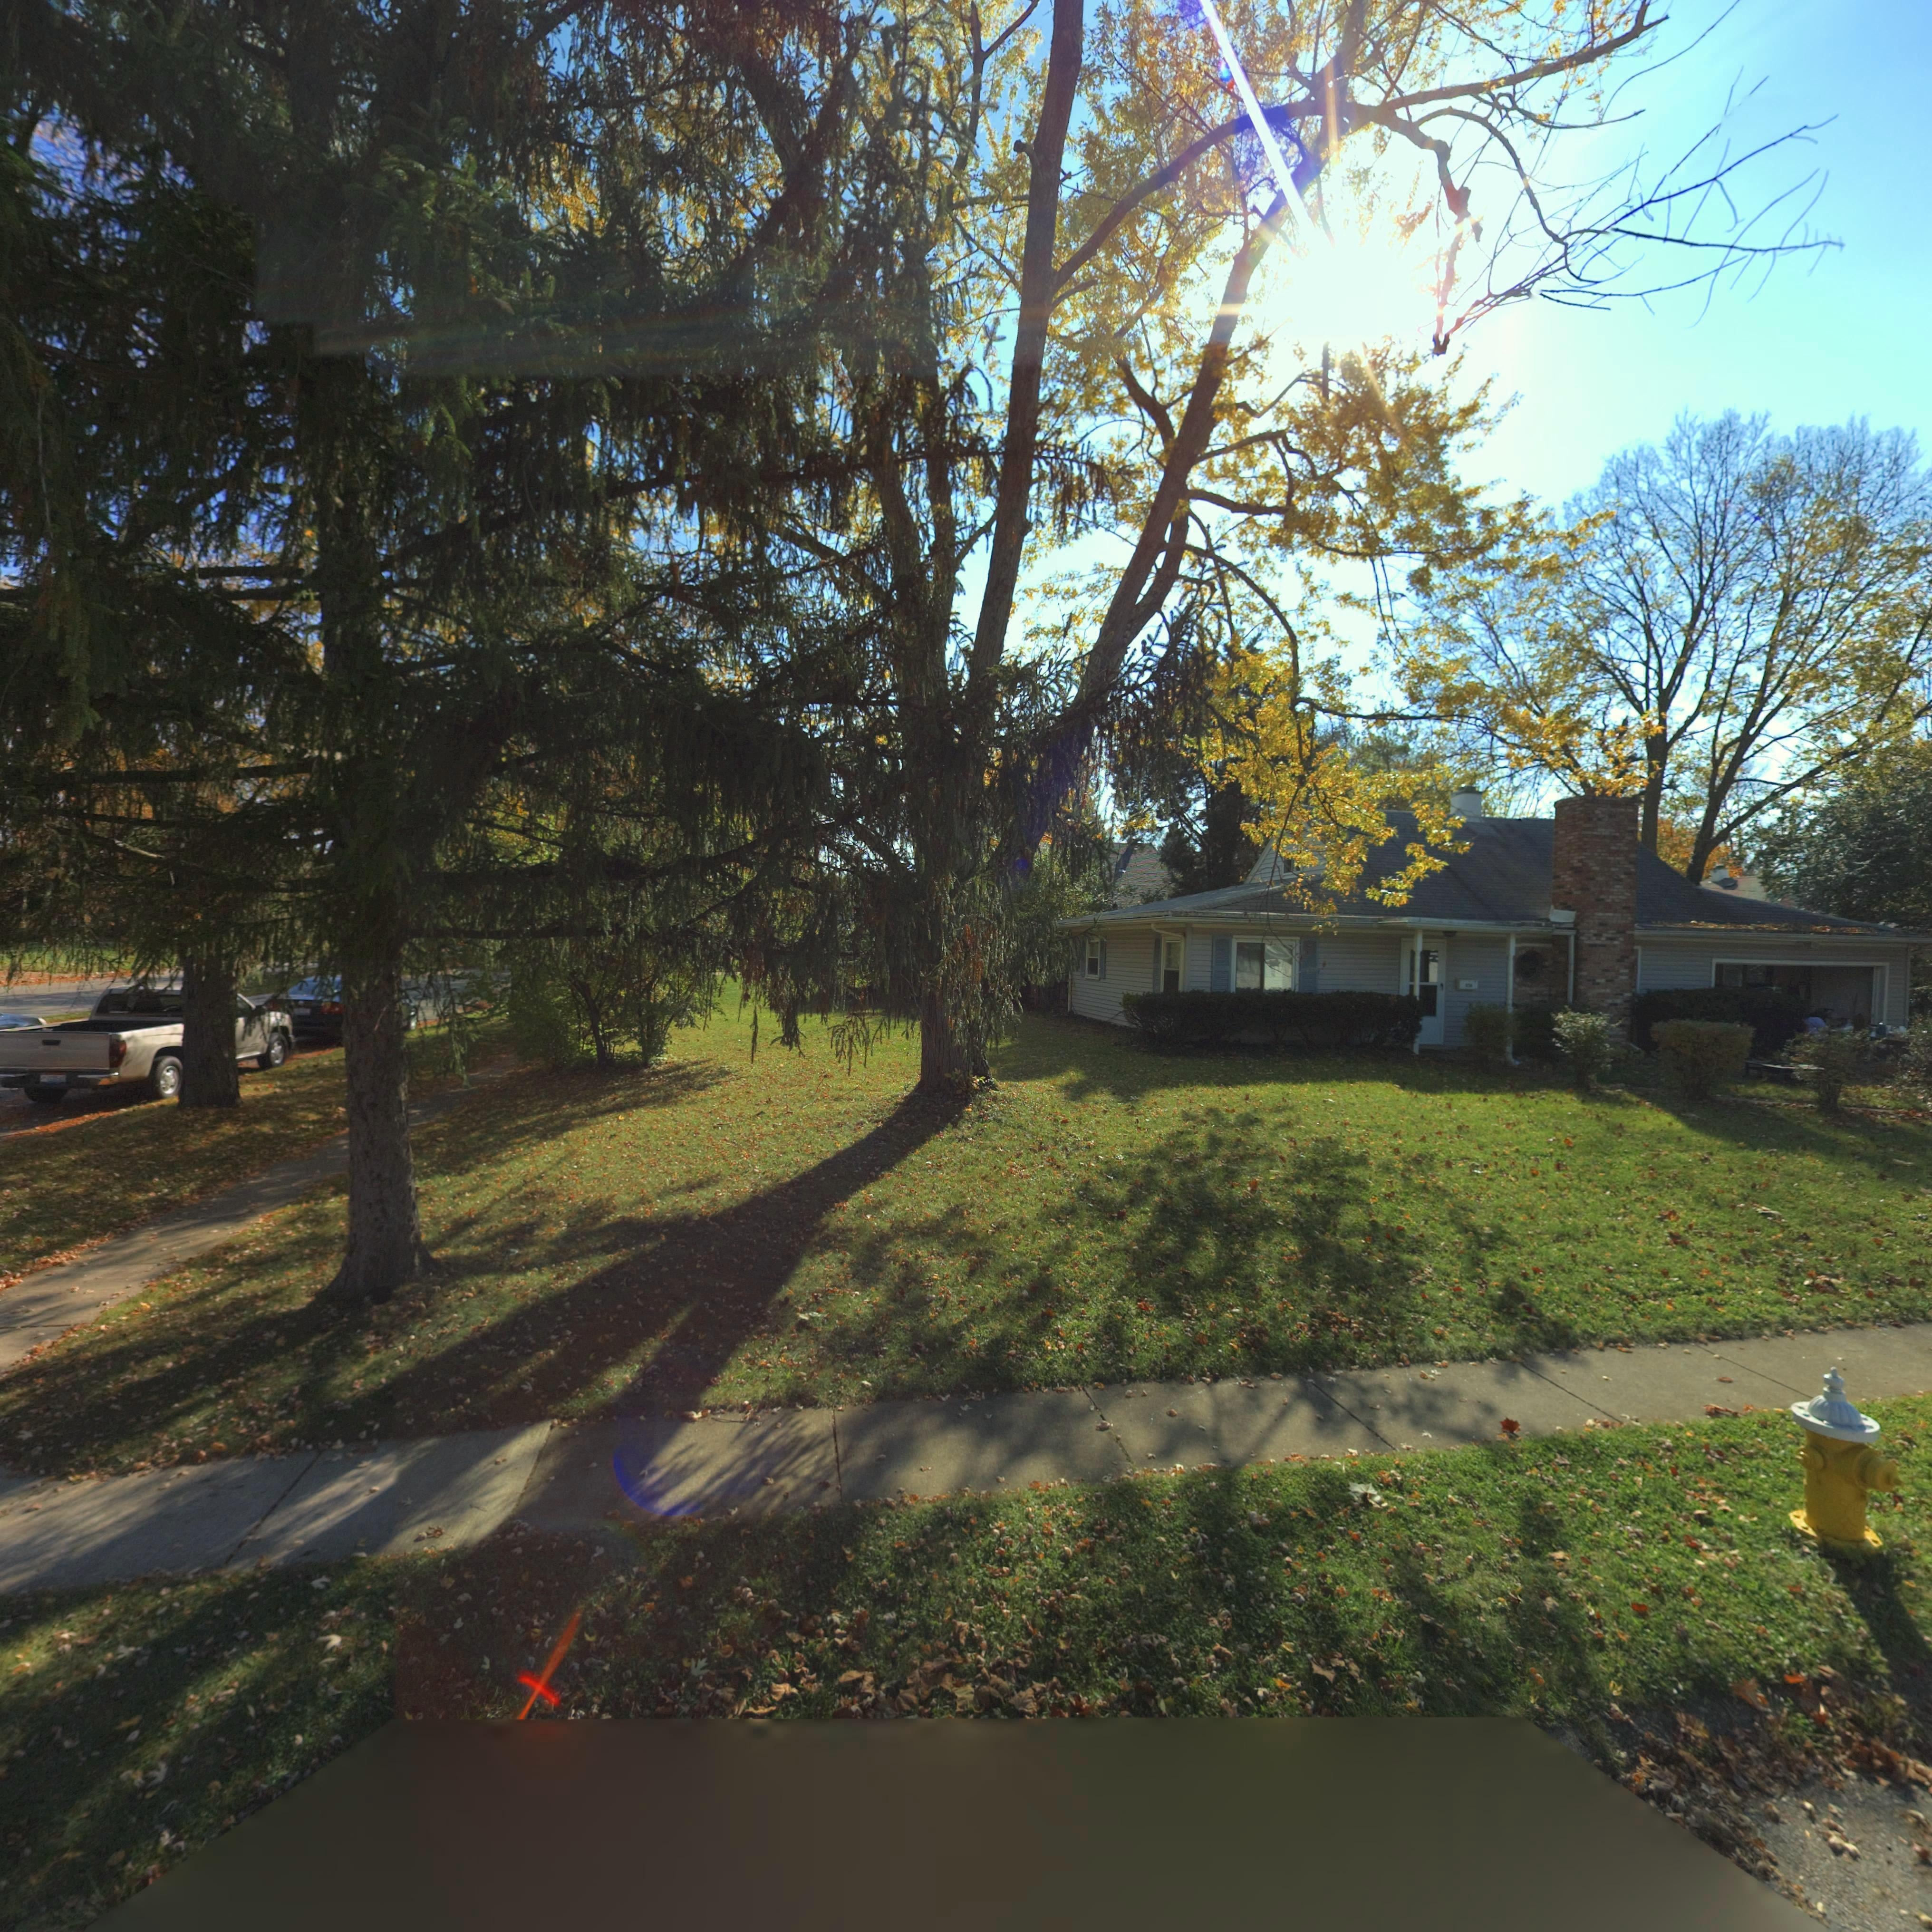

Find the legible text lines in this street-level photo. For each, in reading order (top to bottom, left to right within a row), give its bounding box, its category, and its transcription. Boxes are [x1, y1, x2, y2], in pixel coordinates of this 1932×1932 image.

[1465, 983, 1473, 988] StreetNumber: *5*